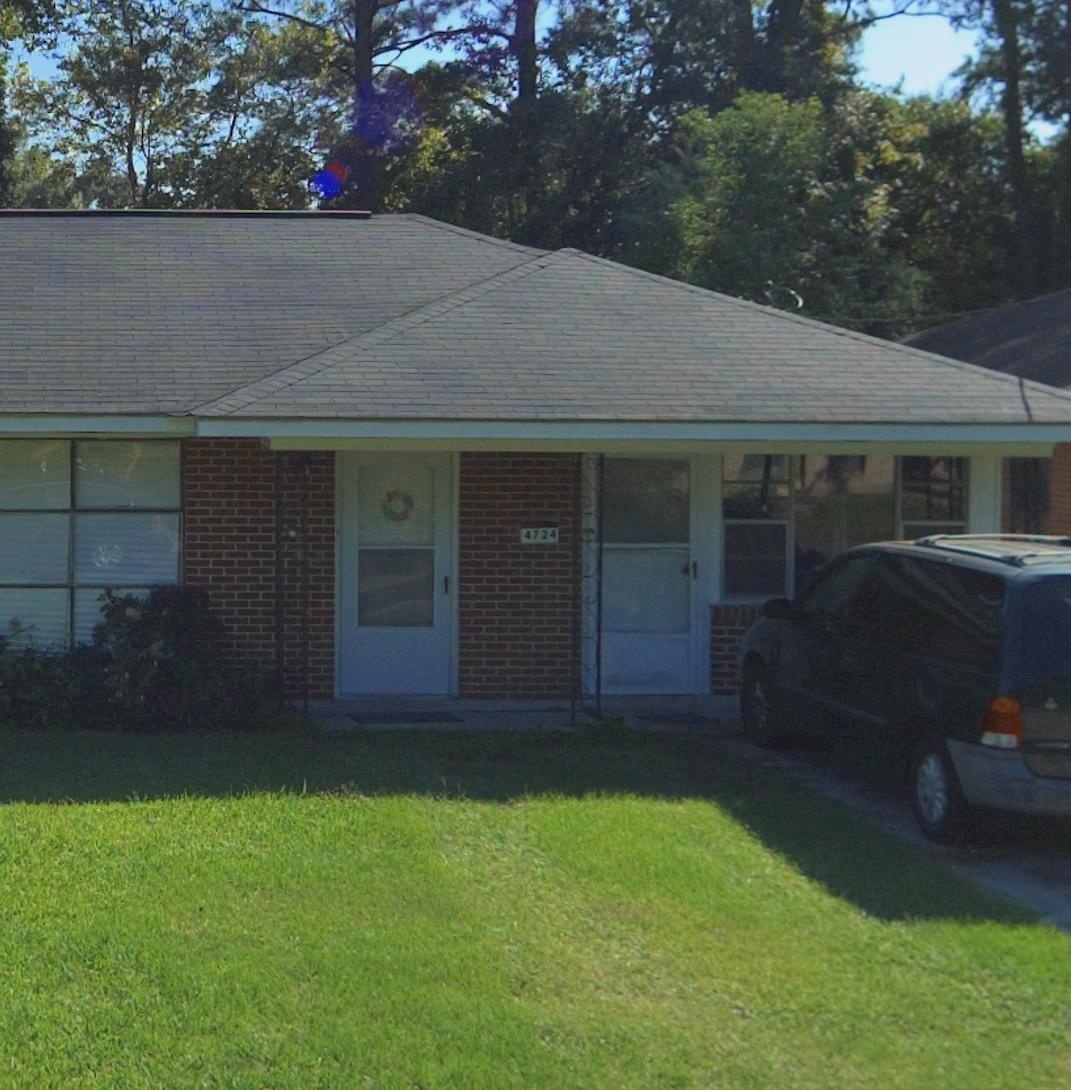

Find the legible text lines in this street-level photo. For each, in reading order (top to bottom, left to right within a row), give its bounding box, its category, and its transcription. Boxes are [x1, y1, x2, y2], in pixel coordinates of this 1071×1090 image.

[524, 528, 557, 540] StreetNumber: 4724